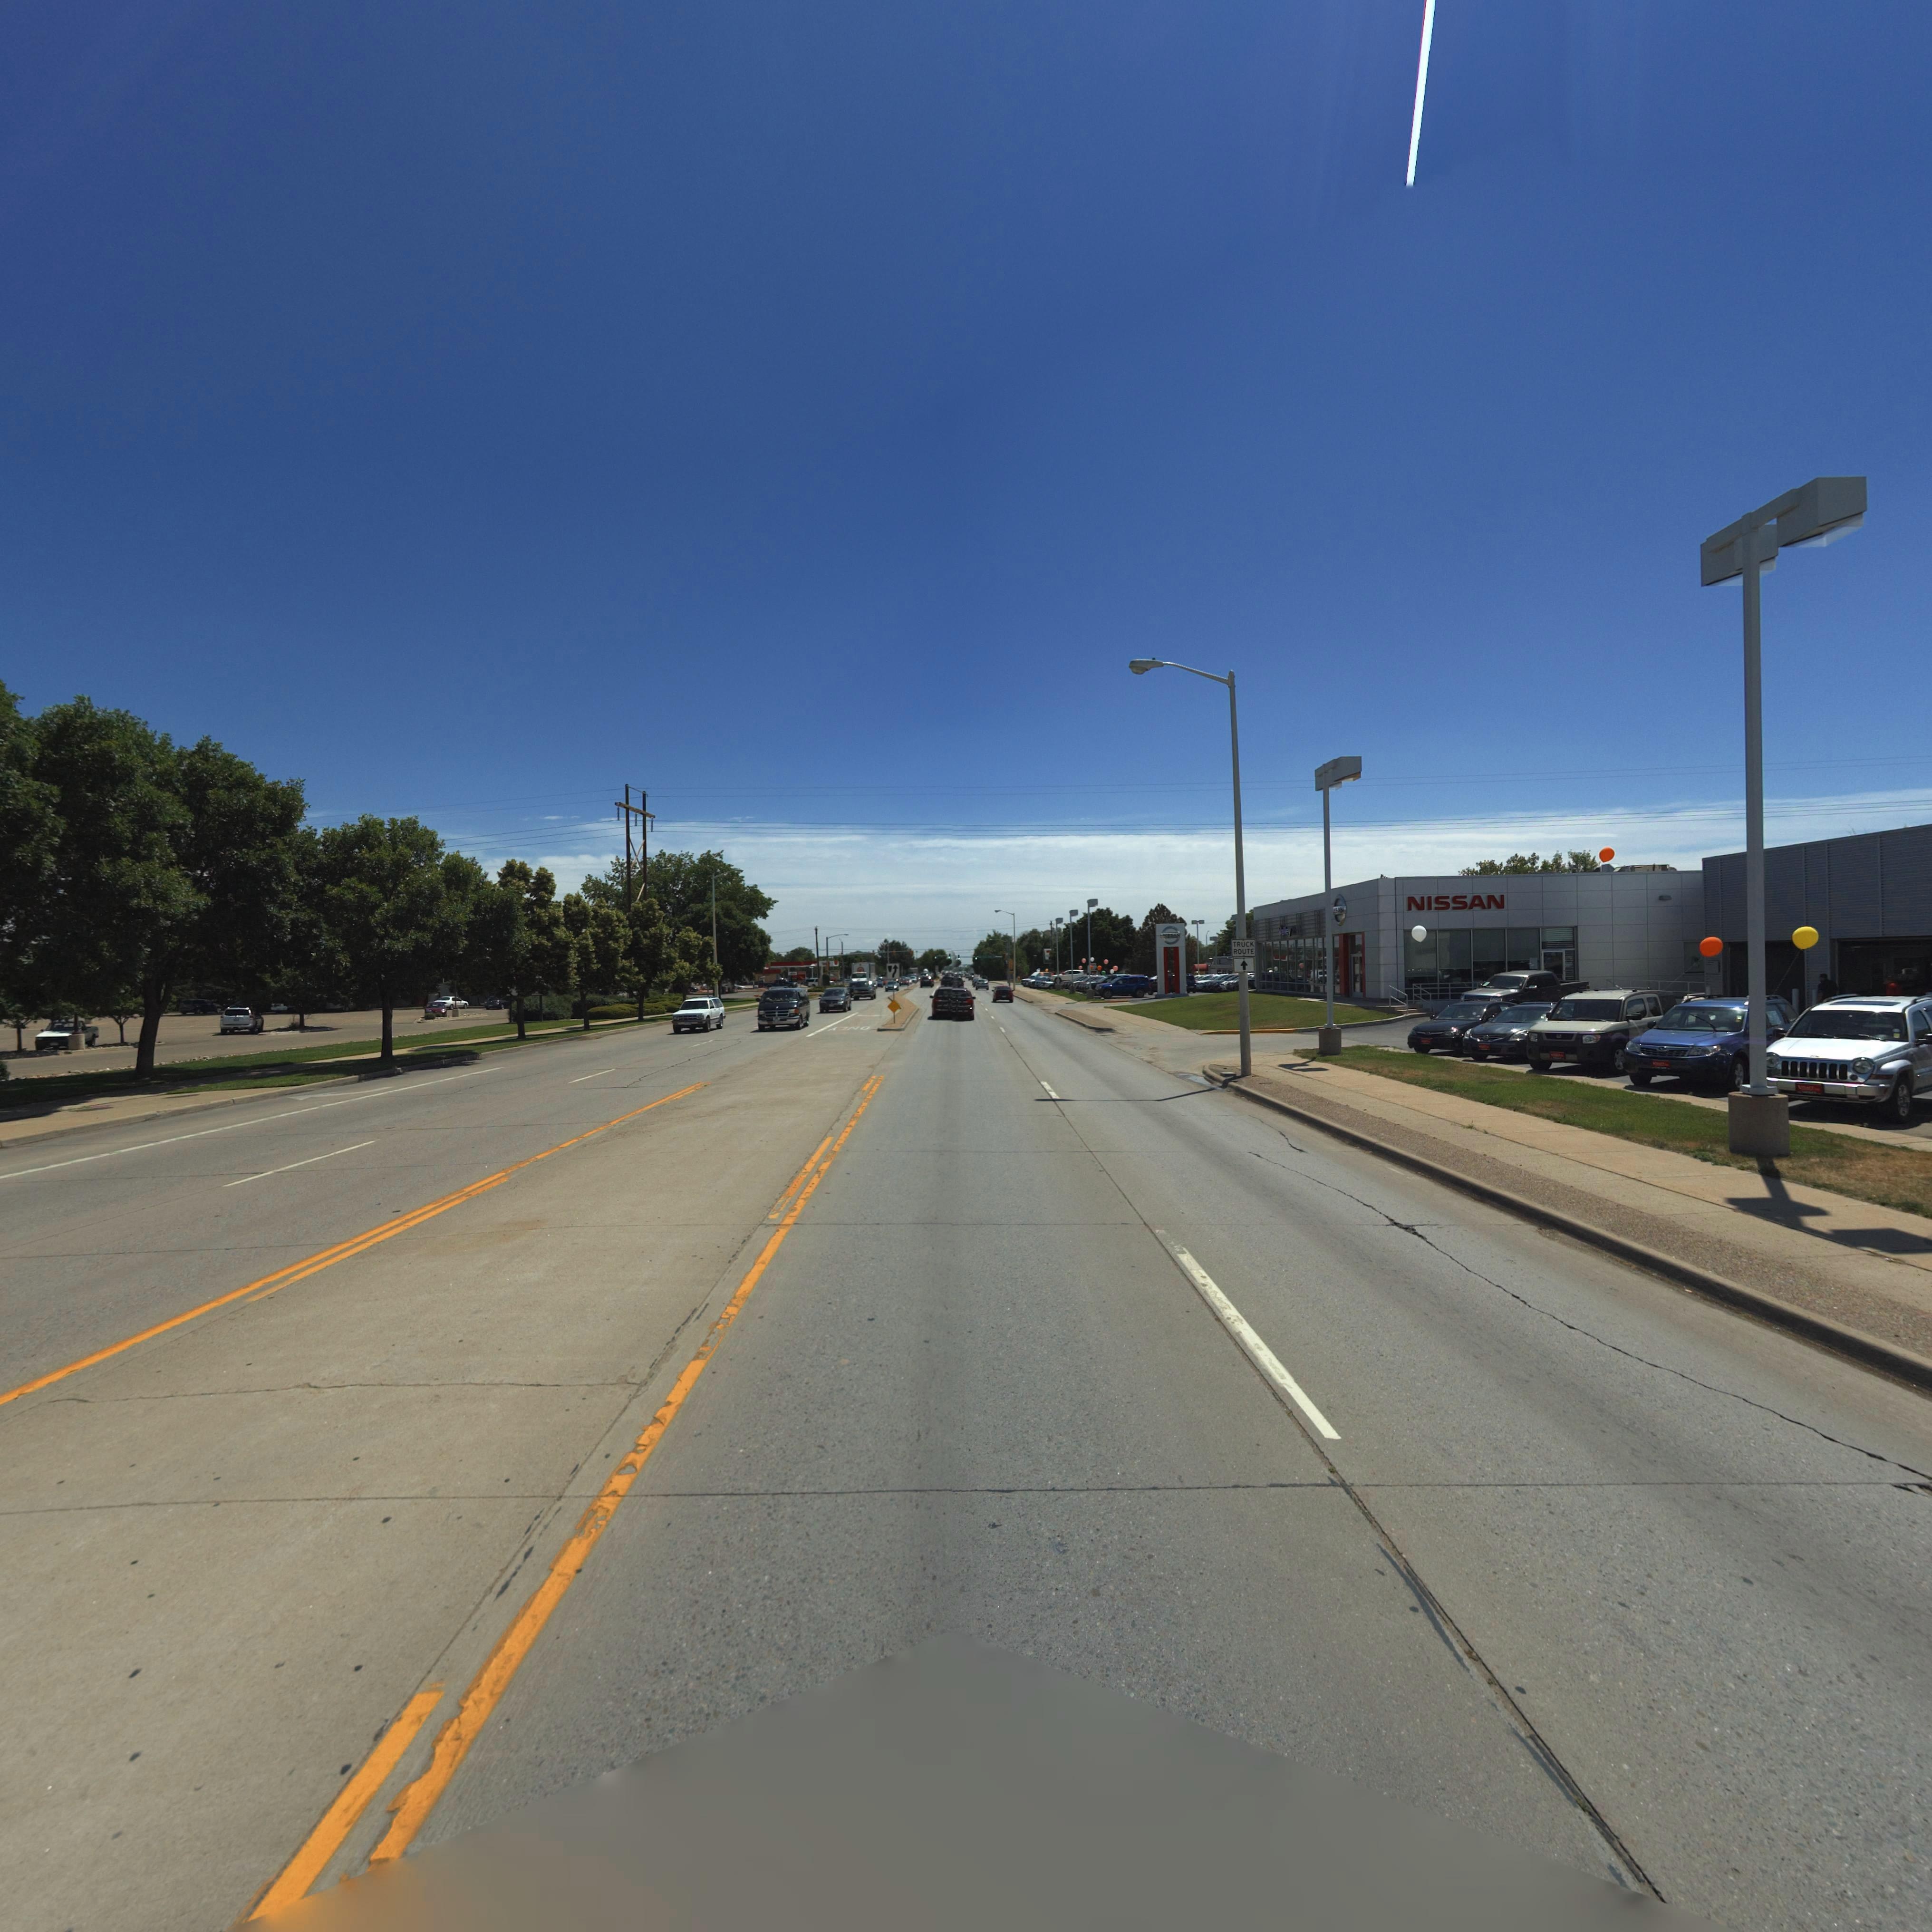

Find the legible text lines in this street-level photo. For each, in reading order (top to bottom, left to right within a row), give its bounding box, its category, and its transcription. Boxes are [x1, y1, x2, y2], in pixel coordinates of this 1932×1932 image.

[1407, 894, 1505, 911] BusinessName: NISSAN
[1333, 907, 1344, 914] BusinessName: *SAN
[1162, 933, 1180, 938] BusinessName: NISAN
[1277, 926, 1291, 937] BusinessName: Valley
[1046, 949, 1052, 959] BusinessName: 7